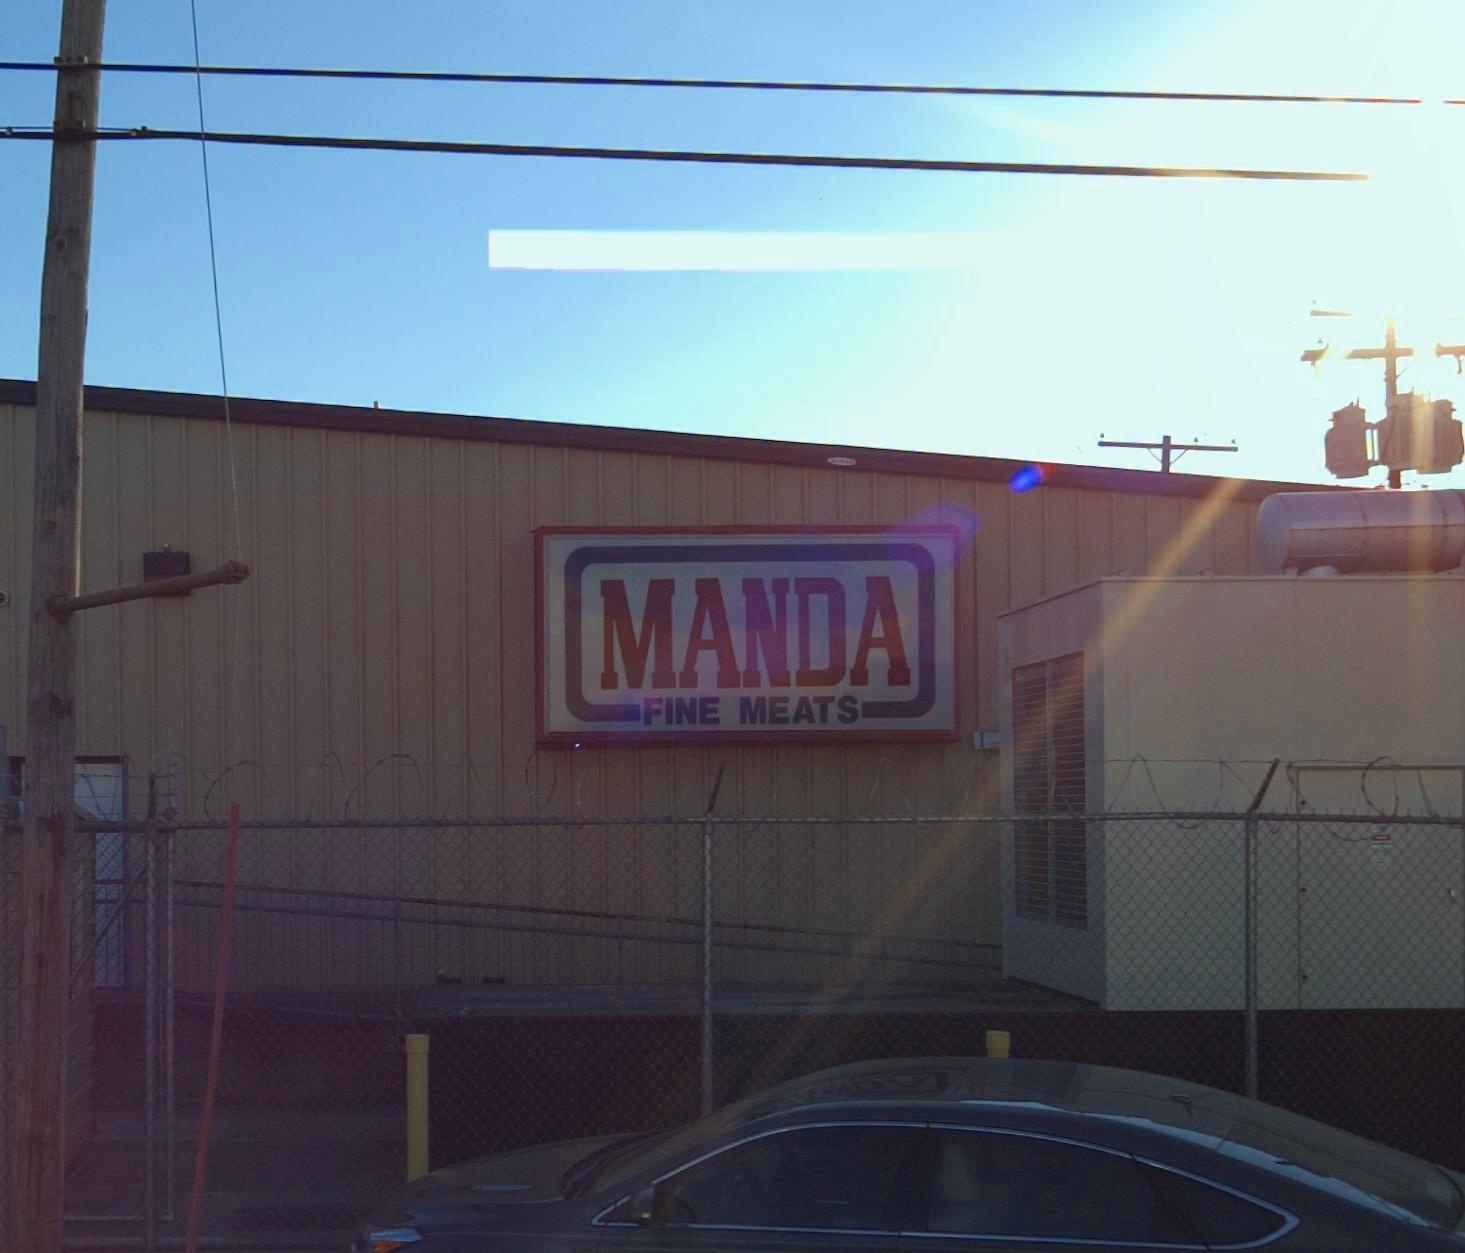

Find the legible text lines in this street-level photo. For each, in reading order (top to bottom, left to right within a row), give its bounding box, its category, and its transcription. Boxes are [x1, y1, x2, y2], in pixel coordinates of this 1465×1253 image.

[596, 572, 917, 692] BusinessName: MANDA
[640, 692, 863, 728] BusinessName: FINE MEATS